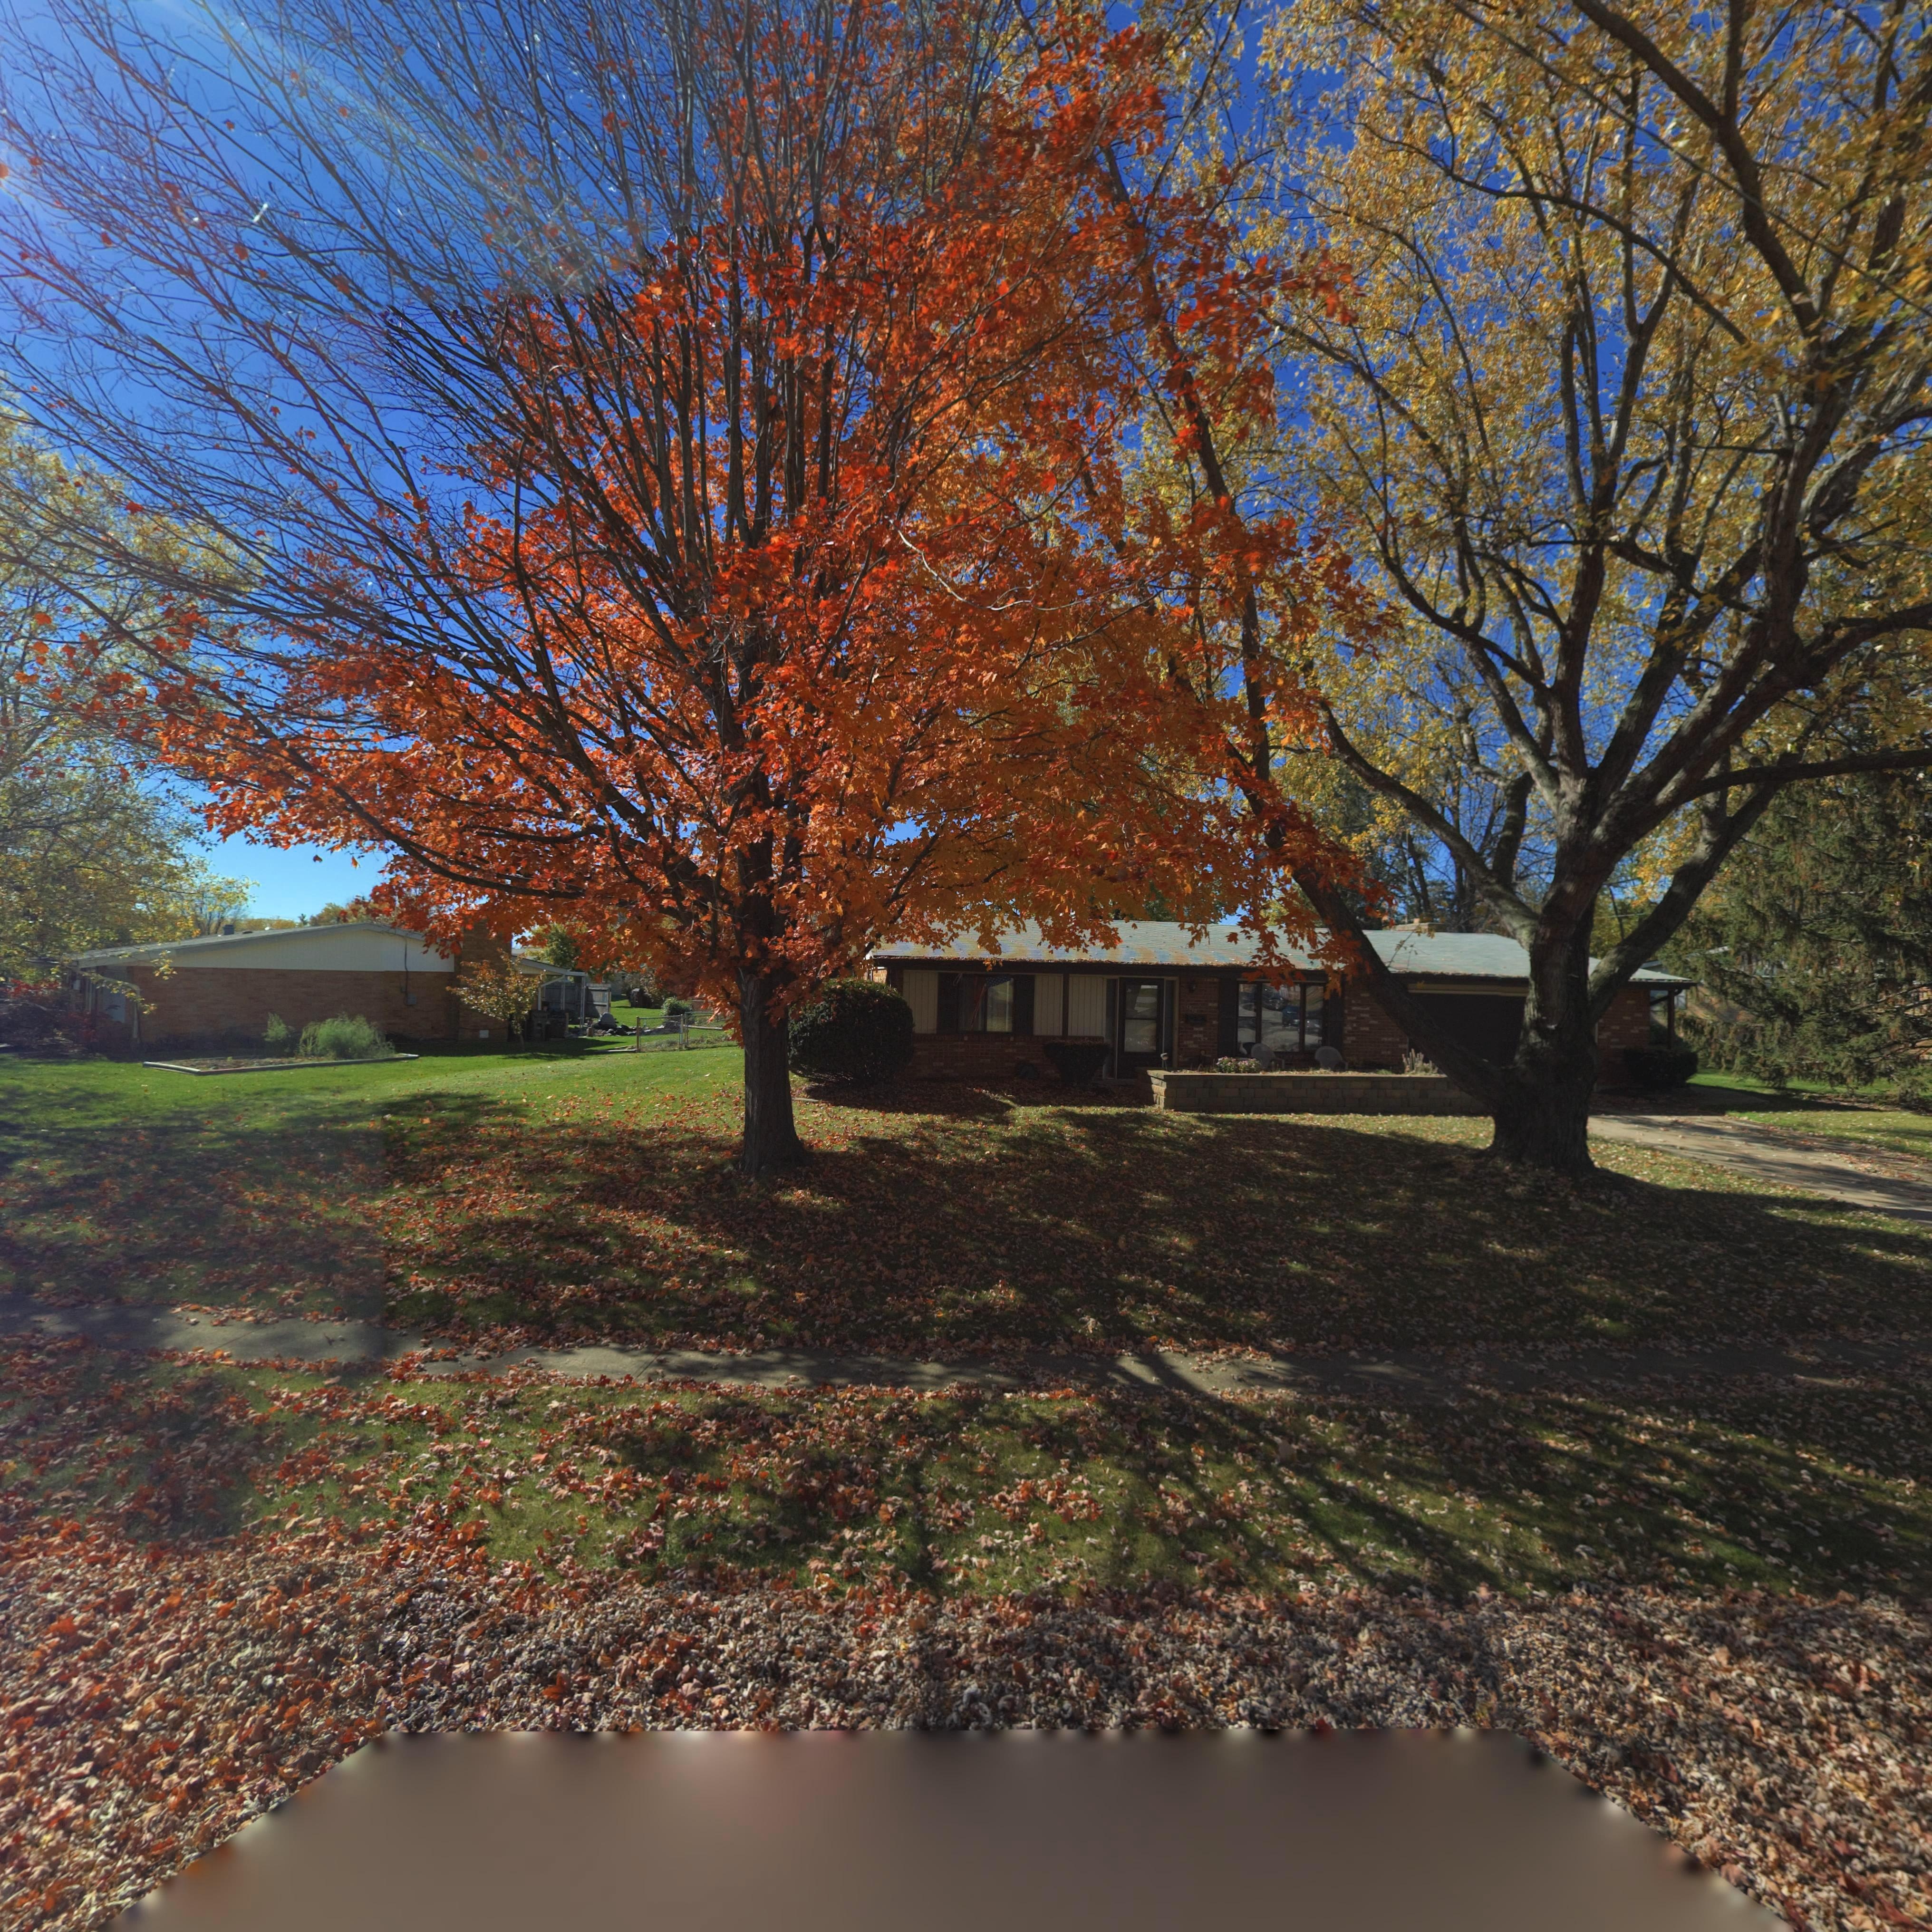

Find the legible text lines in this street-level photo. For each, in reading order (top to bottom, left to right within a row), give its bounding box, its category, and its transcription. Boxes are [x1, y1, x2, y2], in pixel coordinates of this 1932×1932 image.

[1186, 1004, 1198, 1014] StreetNumber: 1010